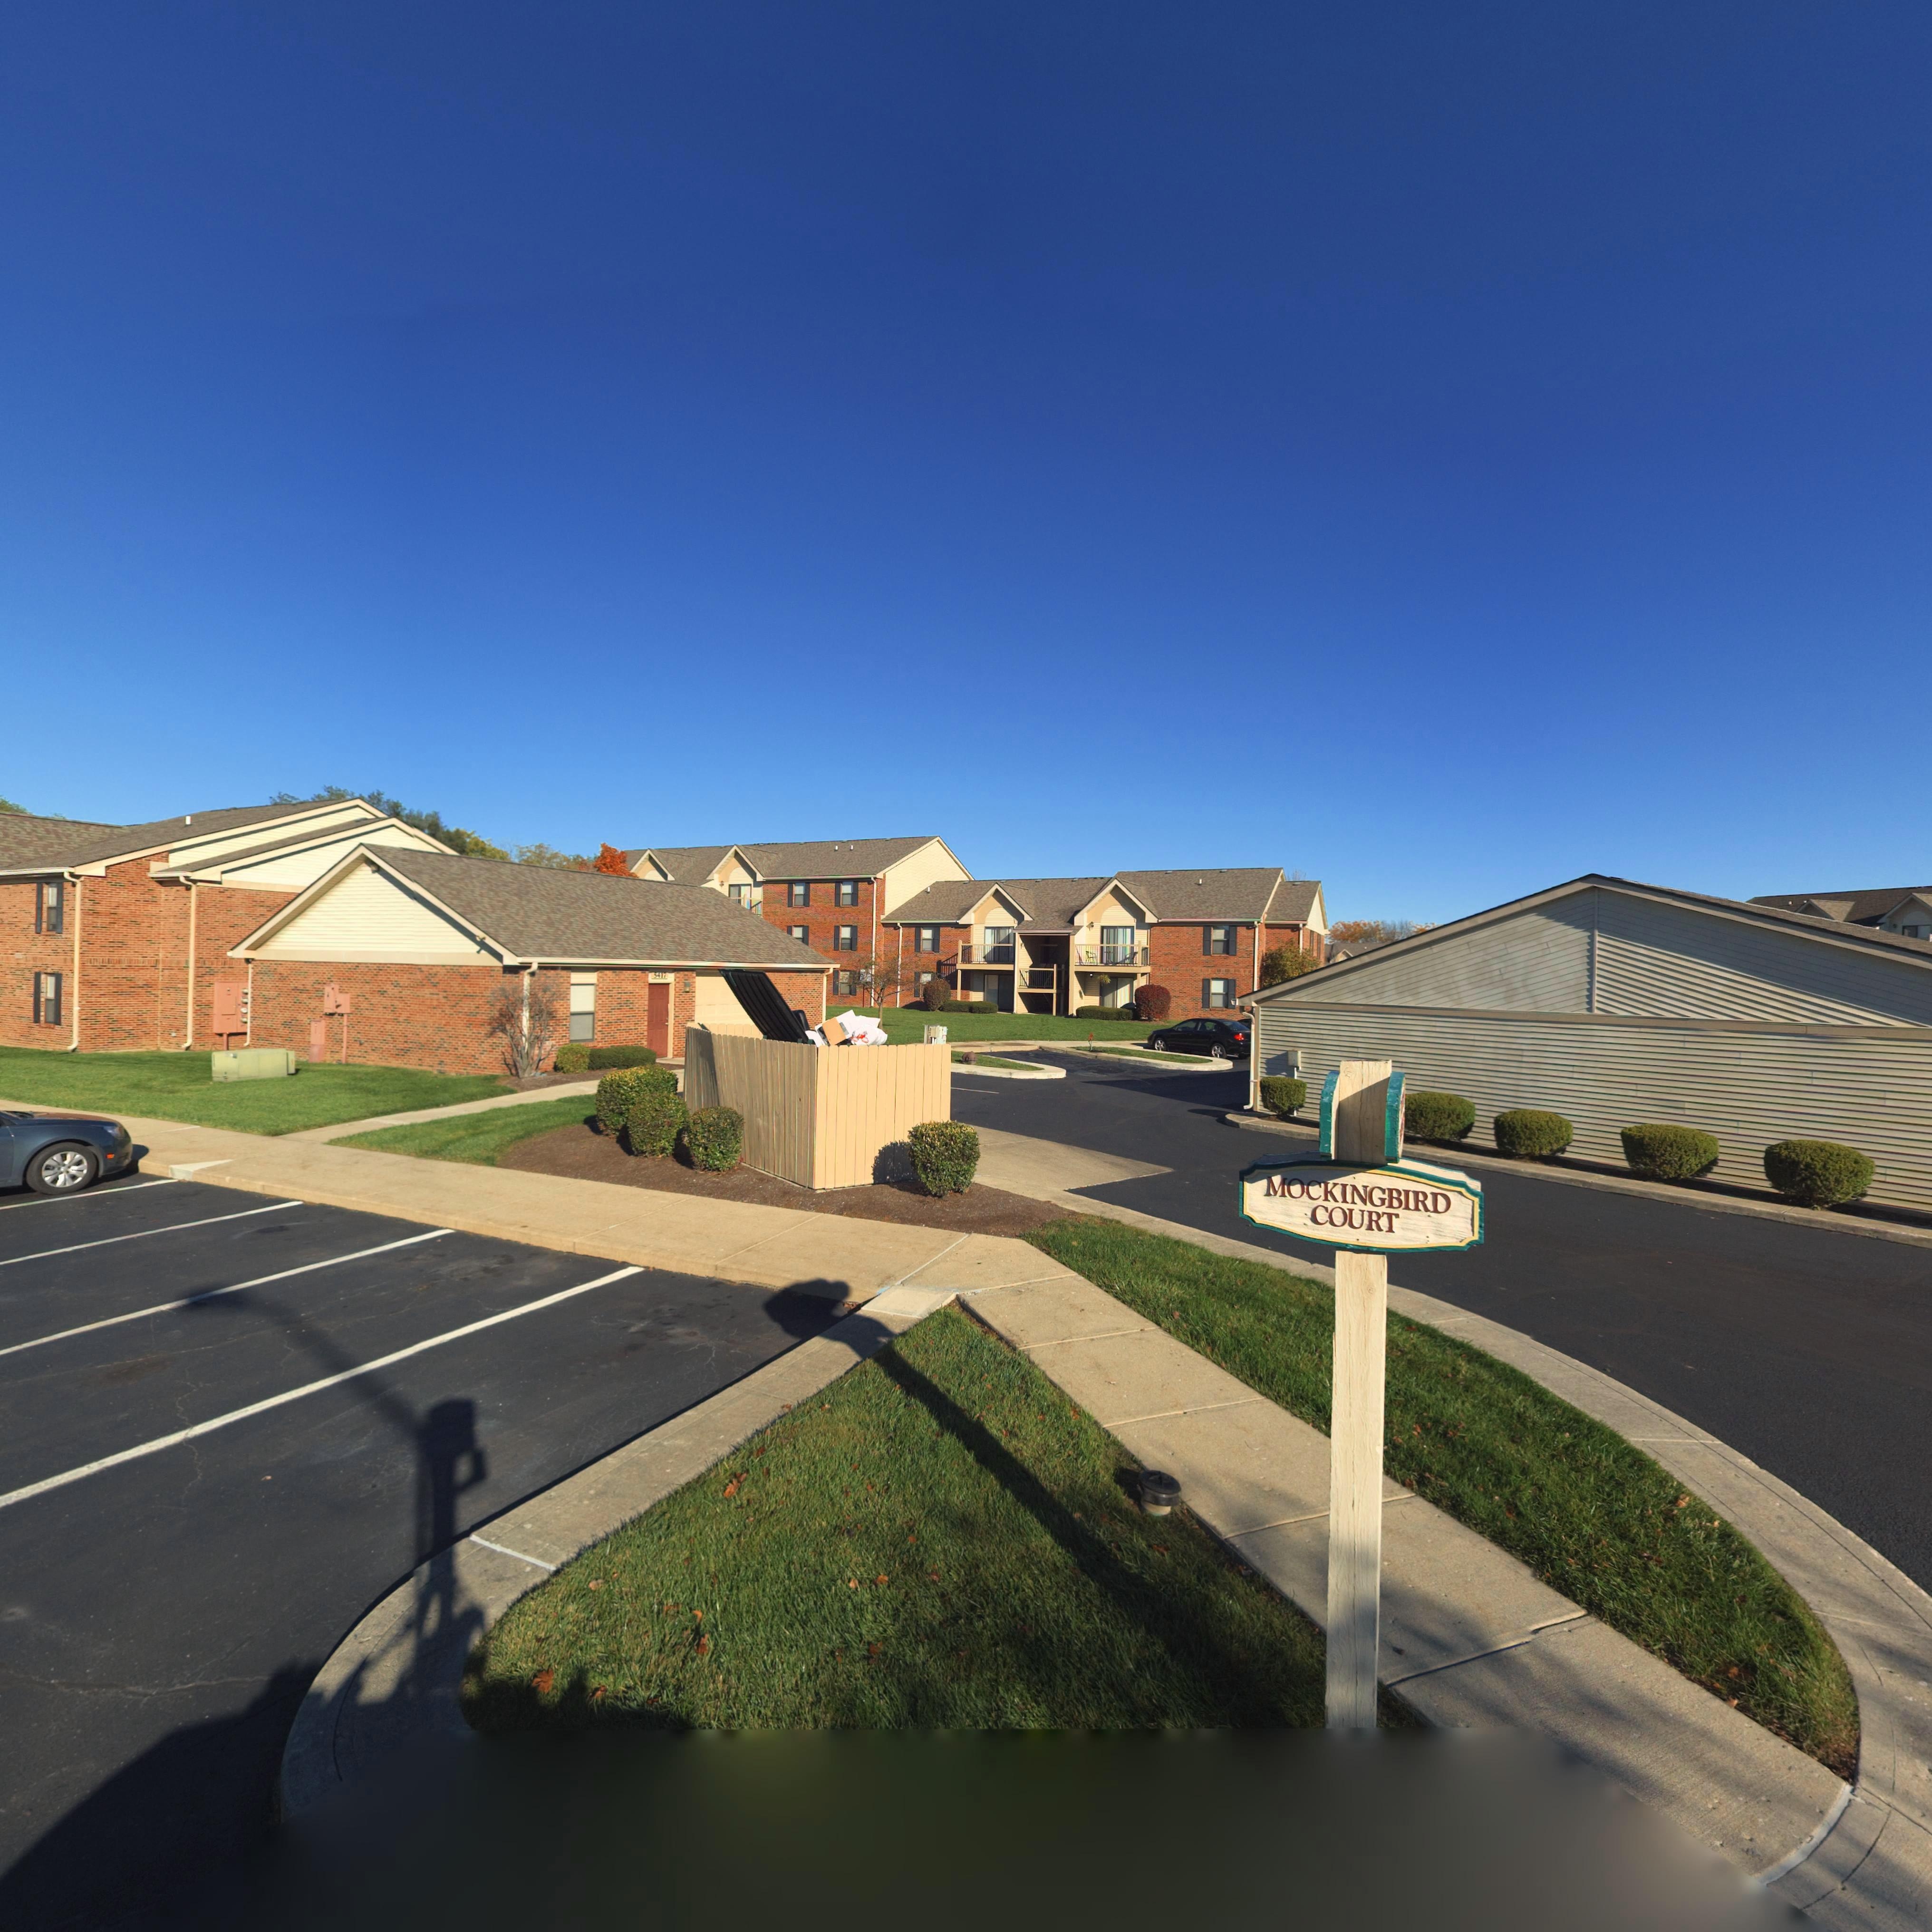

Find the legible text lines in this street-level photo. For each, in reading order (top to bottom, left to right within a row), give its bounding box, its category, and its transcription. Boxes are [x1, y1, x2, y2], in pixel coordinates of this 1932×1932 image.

[653, 971, 667, 978] StreetNumber: 5417